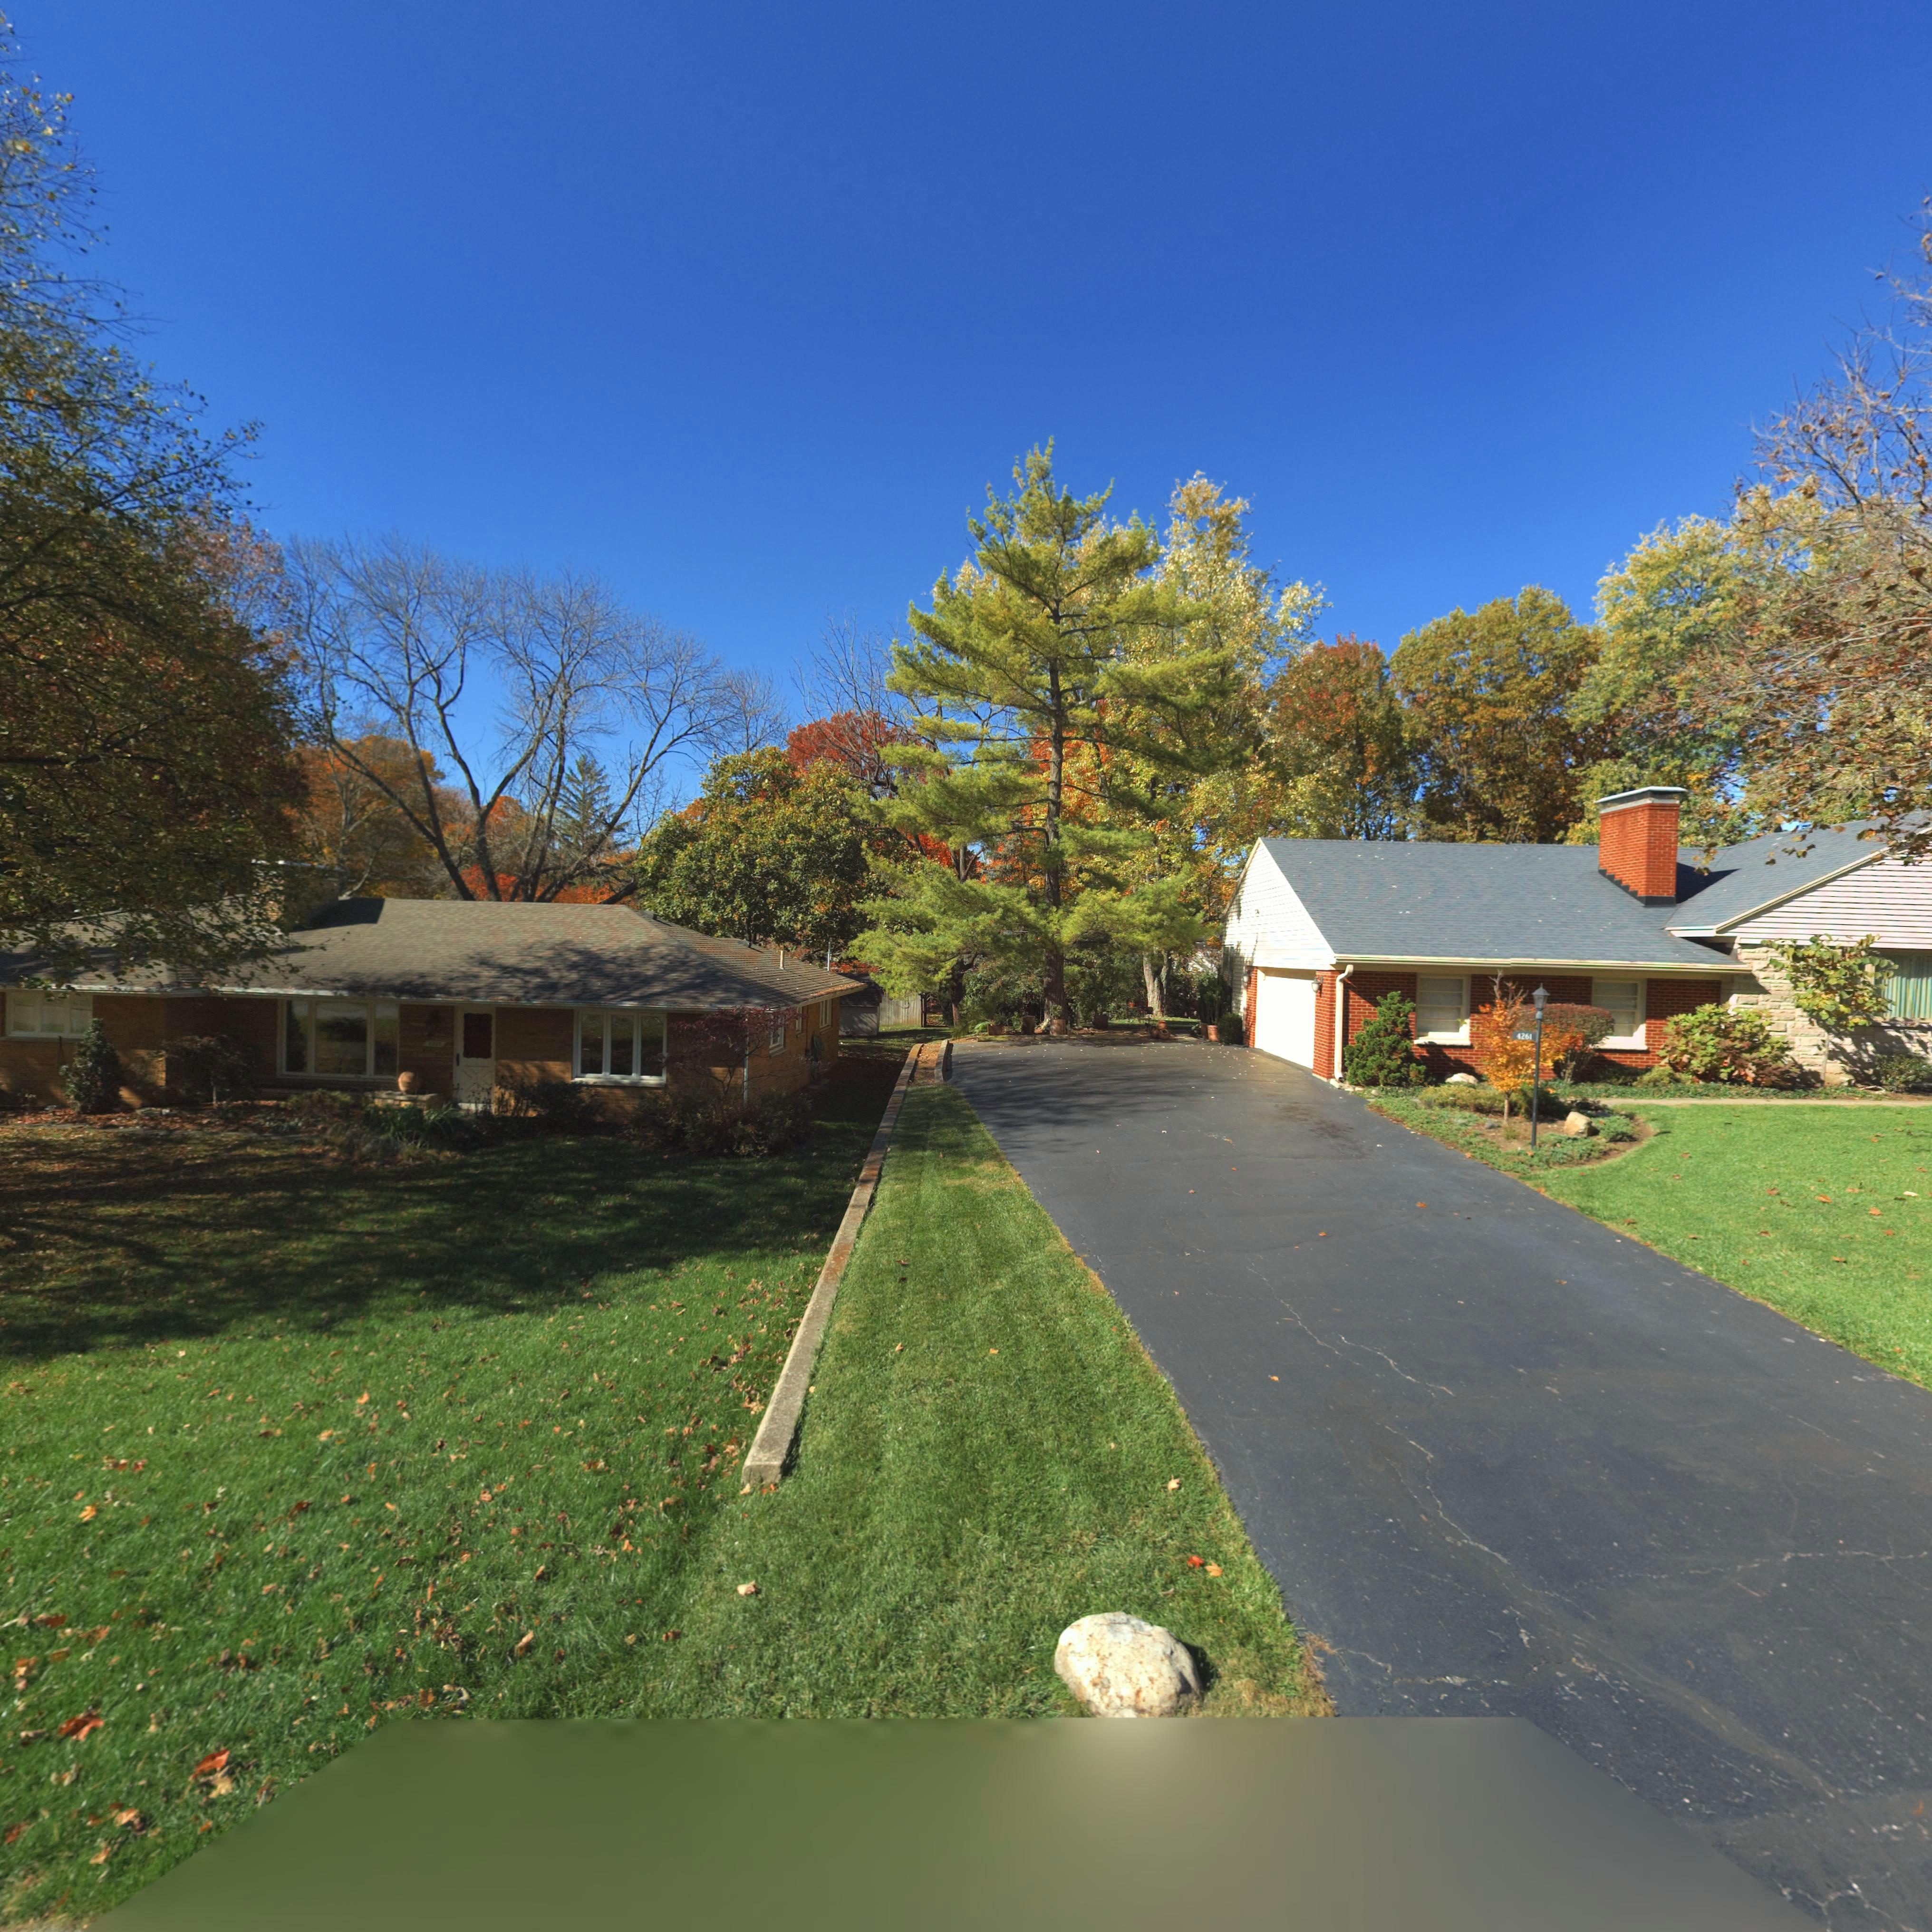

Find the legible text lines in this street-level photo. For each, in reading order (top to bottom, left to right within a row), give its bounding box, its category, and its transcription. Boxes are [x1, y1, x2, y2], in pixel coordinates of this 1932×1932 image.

[1516, 1032, 1533, 1041] StreetNumber: 4261